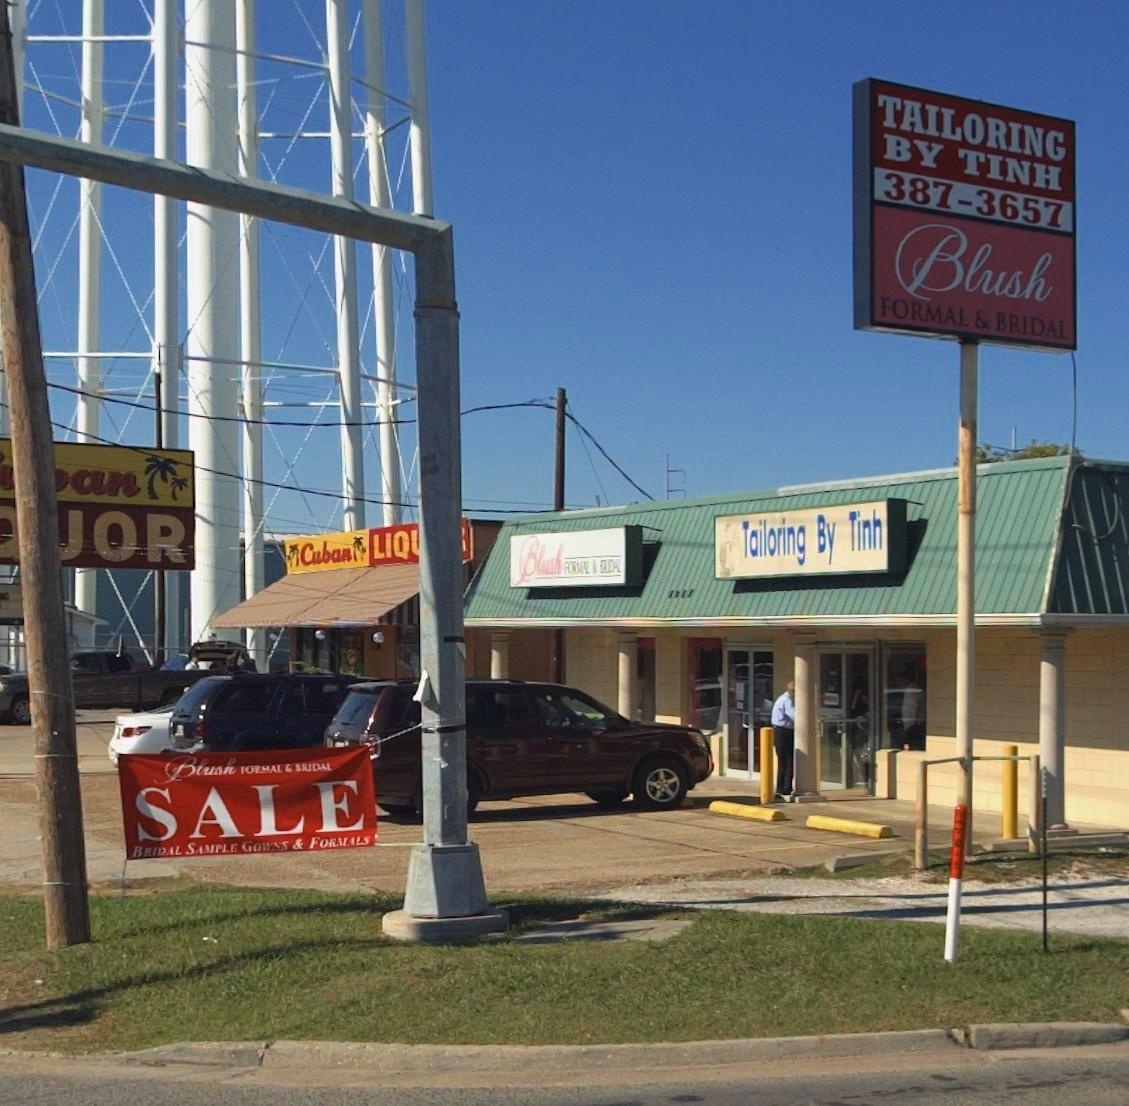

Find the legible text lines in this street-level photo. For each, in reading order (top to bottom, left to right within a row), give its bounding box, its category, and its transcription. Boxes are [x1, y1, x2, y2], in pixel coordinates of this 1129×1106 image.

[875, 91, 1067, 164] BusinessName: TAILORING
[880, 130, 1064, 194] BusinessName: BY TINH
[879, 169, 1067, 230] None: 387-3657
[894, 221, 1055, 303] BusinessName: Blush
[878, 294, 1072, 342] None: FORMAL & BRIDAL
[66, 467, 142, 499] BusinessName: an
[91, 508, 189, 565] BusinessName: OR
[298, 528, 411, 568] BusinessName: Cuban LIQ
[508, 534, 565, 587] BusinessName: Blush
[739, 507, 884, 568] BusinessName: Tailoring By Tinh
[163, 753, 334, 779] BusinessName: Blush FORMAL & BRIDAL
[133, 778, 365, 845] None: SALE
[130, 832, 374, 860] None: BRIDAL SAMPLE GOWNS & FORMALS